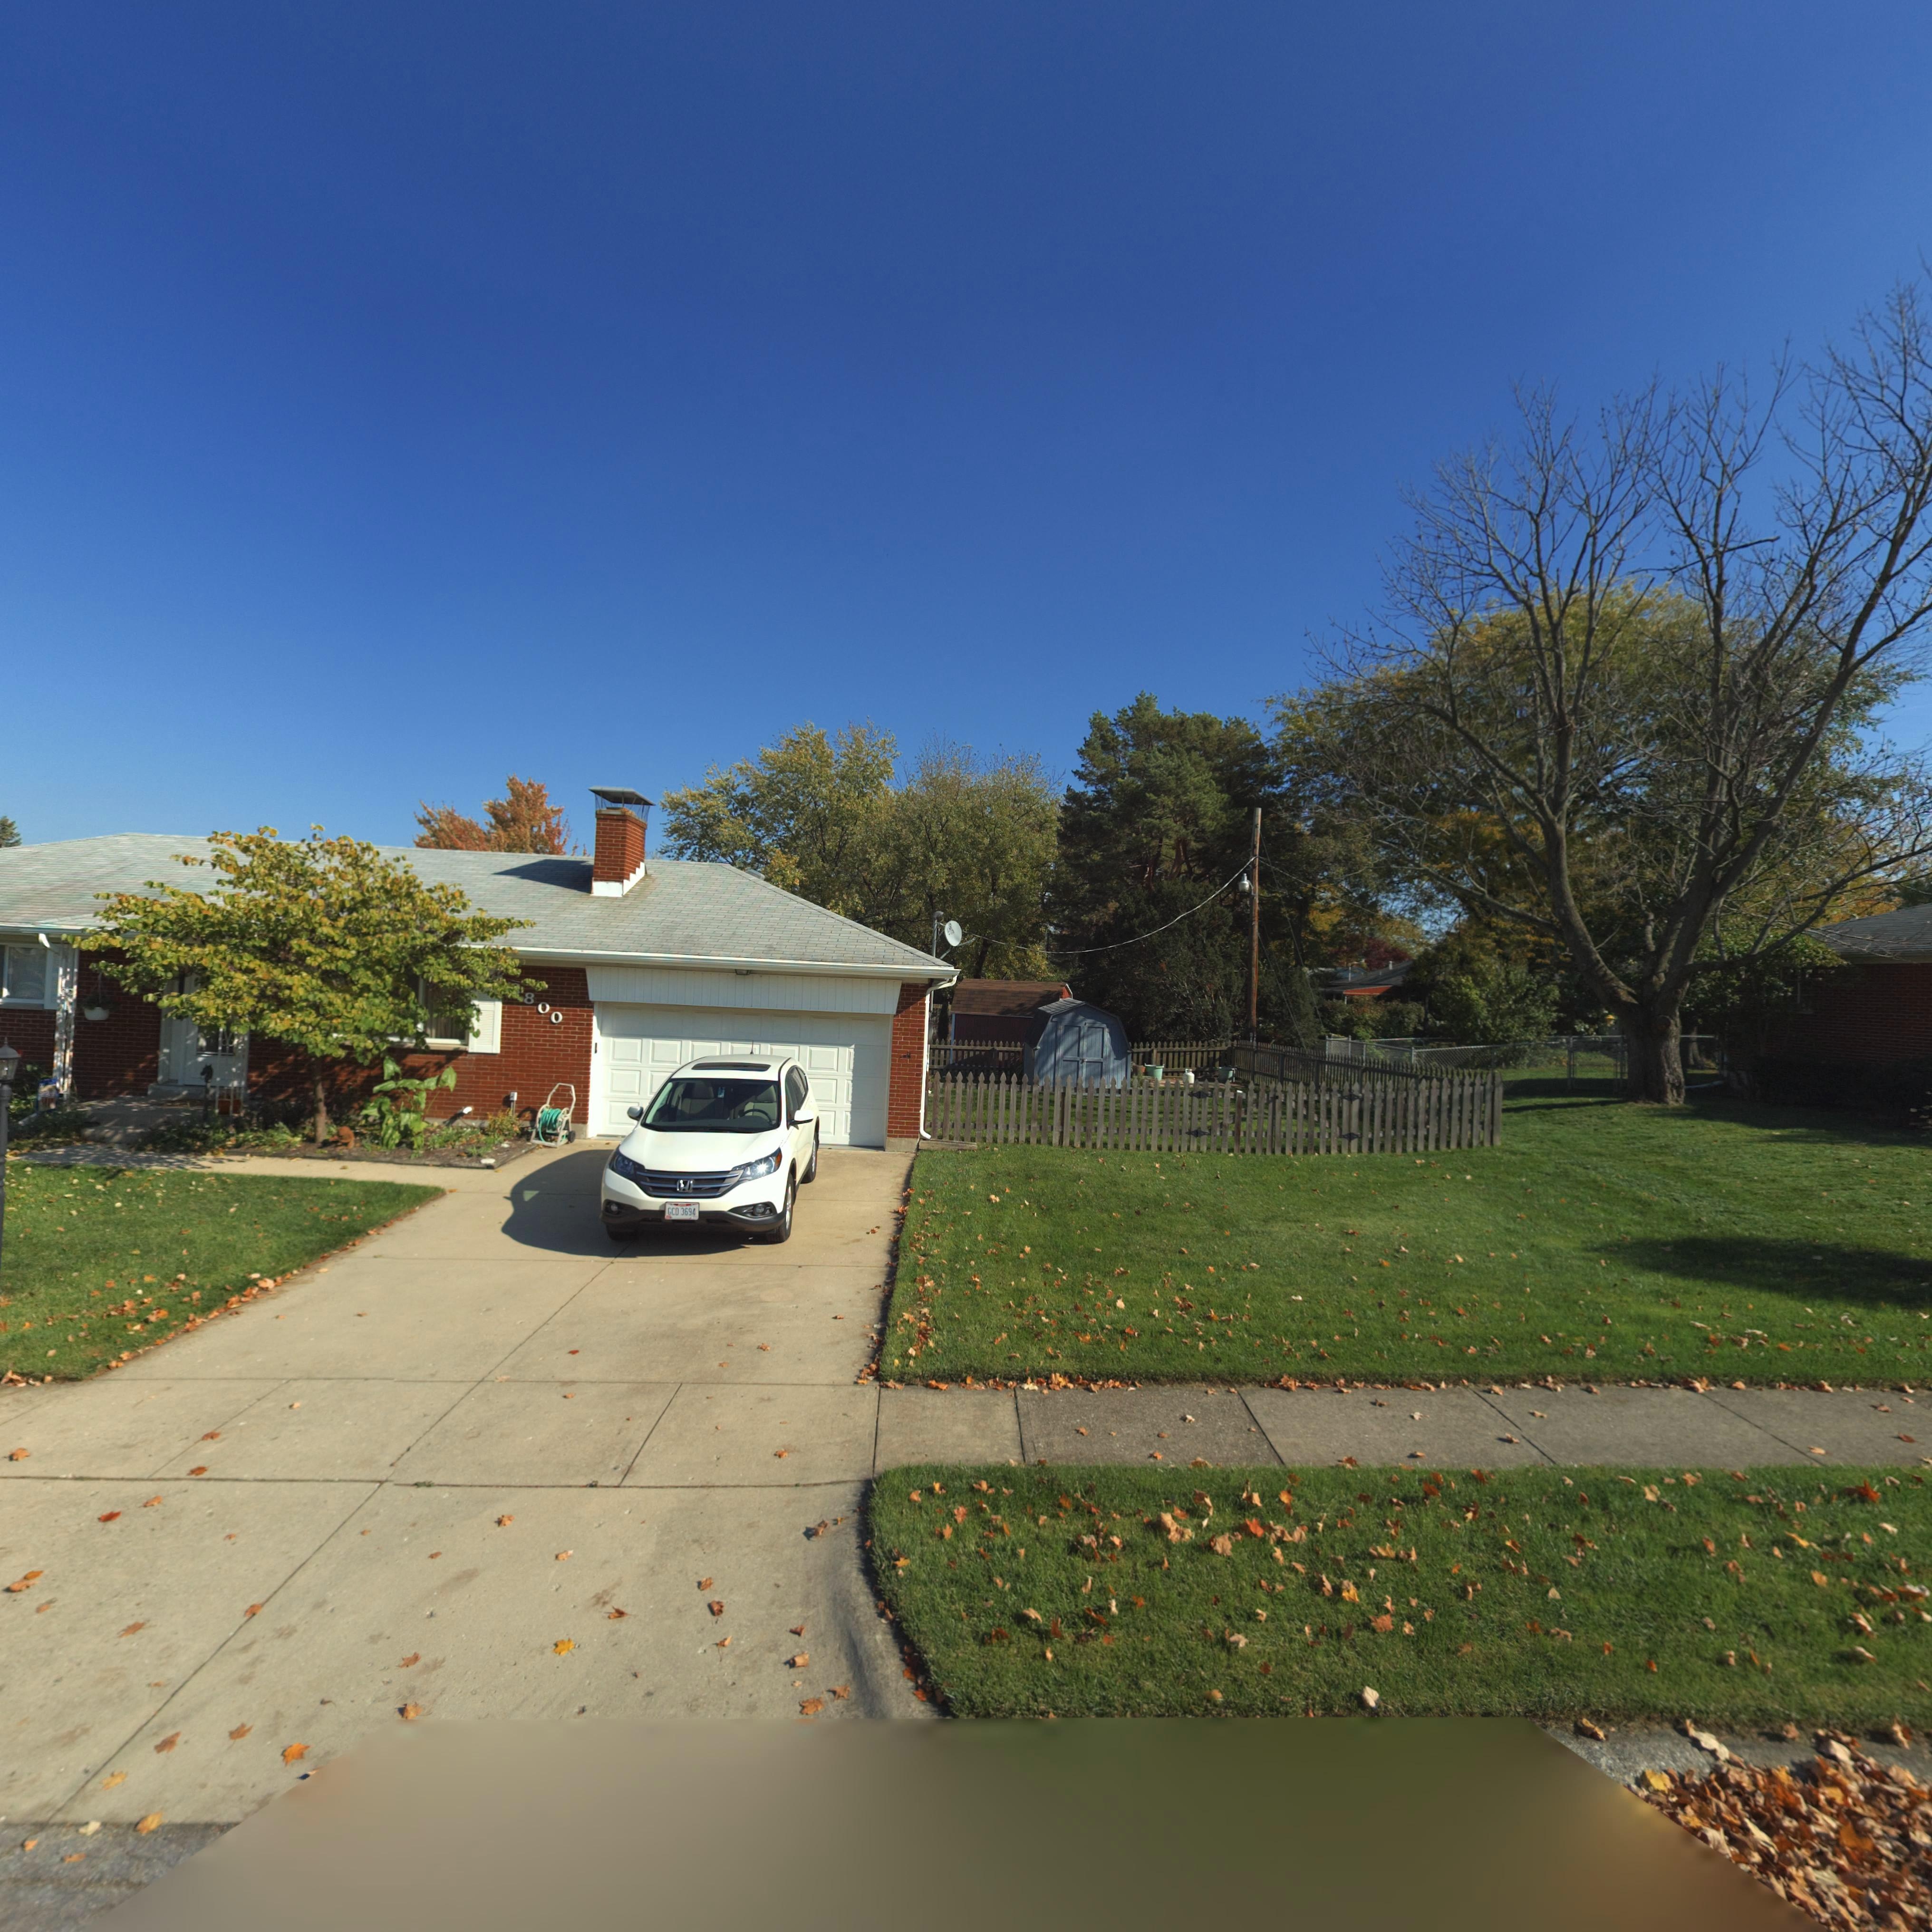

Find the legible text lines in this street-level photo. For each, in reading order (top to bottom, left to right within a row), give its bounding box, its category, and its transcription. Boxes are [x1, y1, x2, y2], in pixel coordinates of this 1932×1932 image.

[522, 991, 564, 1025] StreetNumber: 800
[666, 1206, 697, 1217] None: GCD 3694